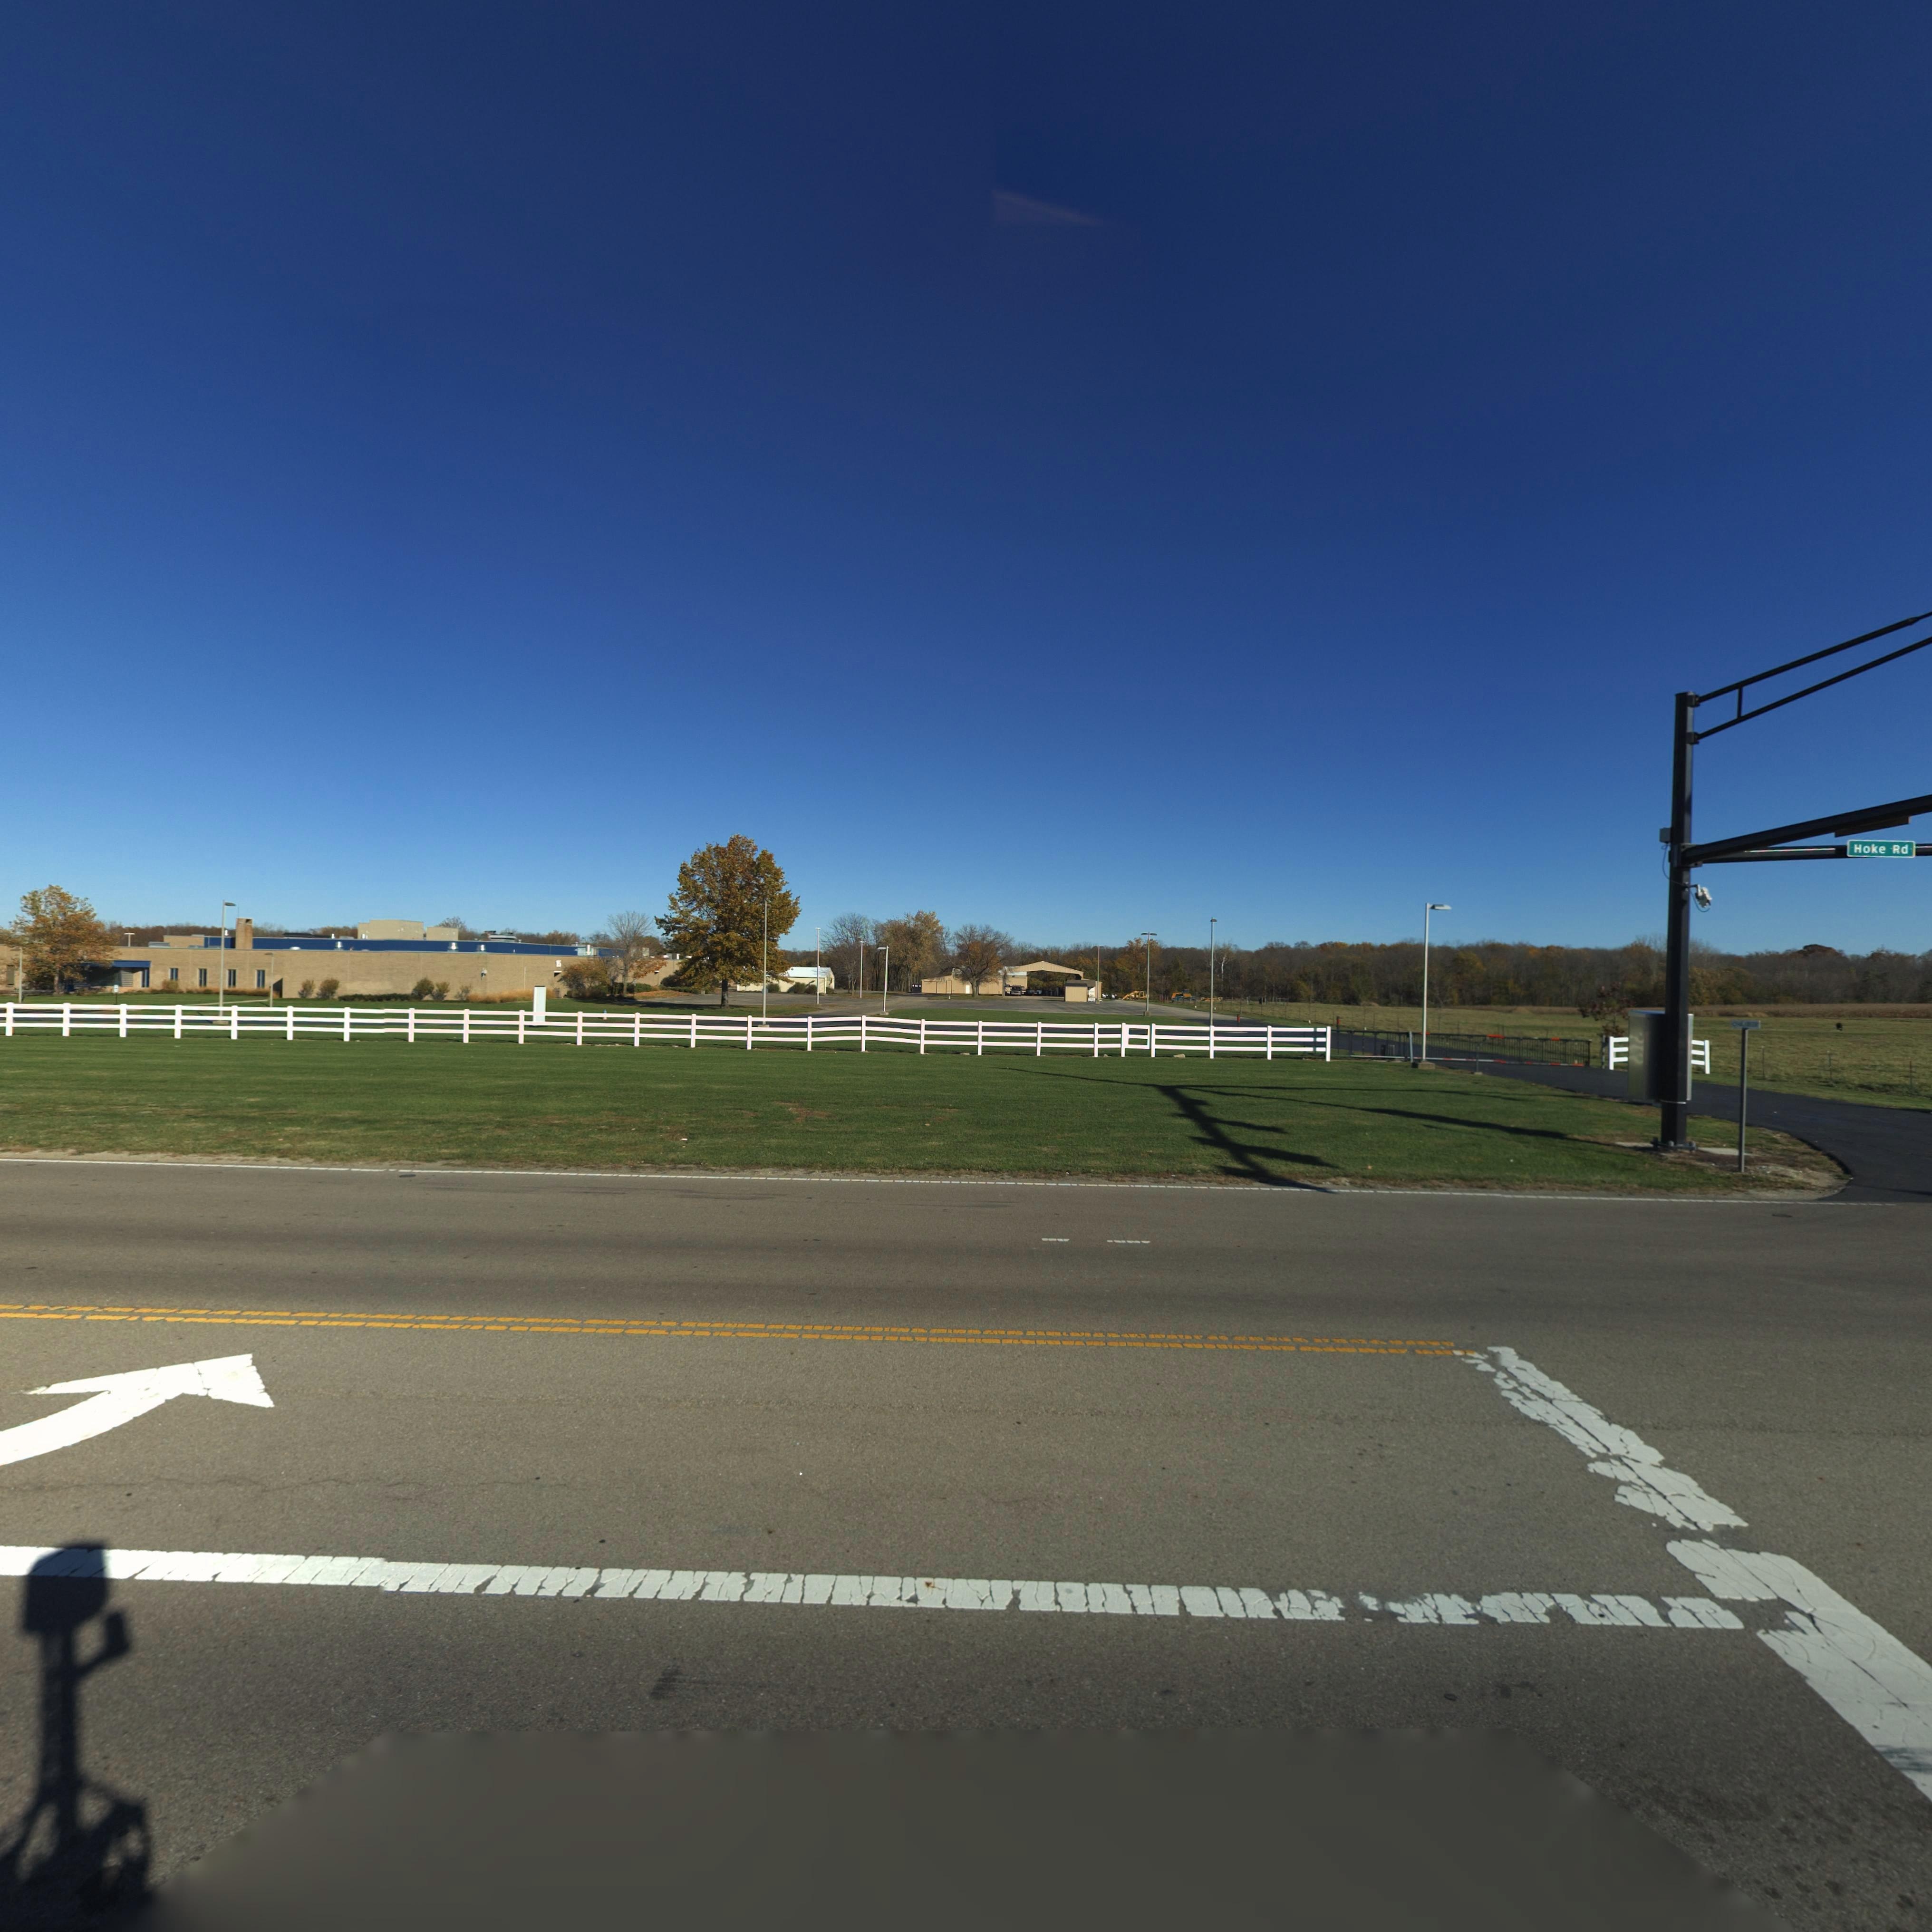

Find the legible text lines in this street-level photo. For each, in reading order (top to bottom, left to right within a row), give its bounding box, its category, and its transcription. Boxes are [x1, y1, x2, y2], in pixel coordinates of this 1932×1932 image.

[556, 960, 562, 967] StreetNumber: 15